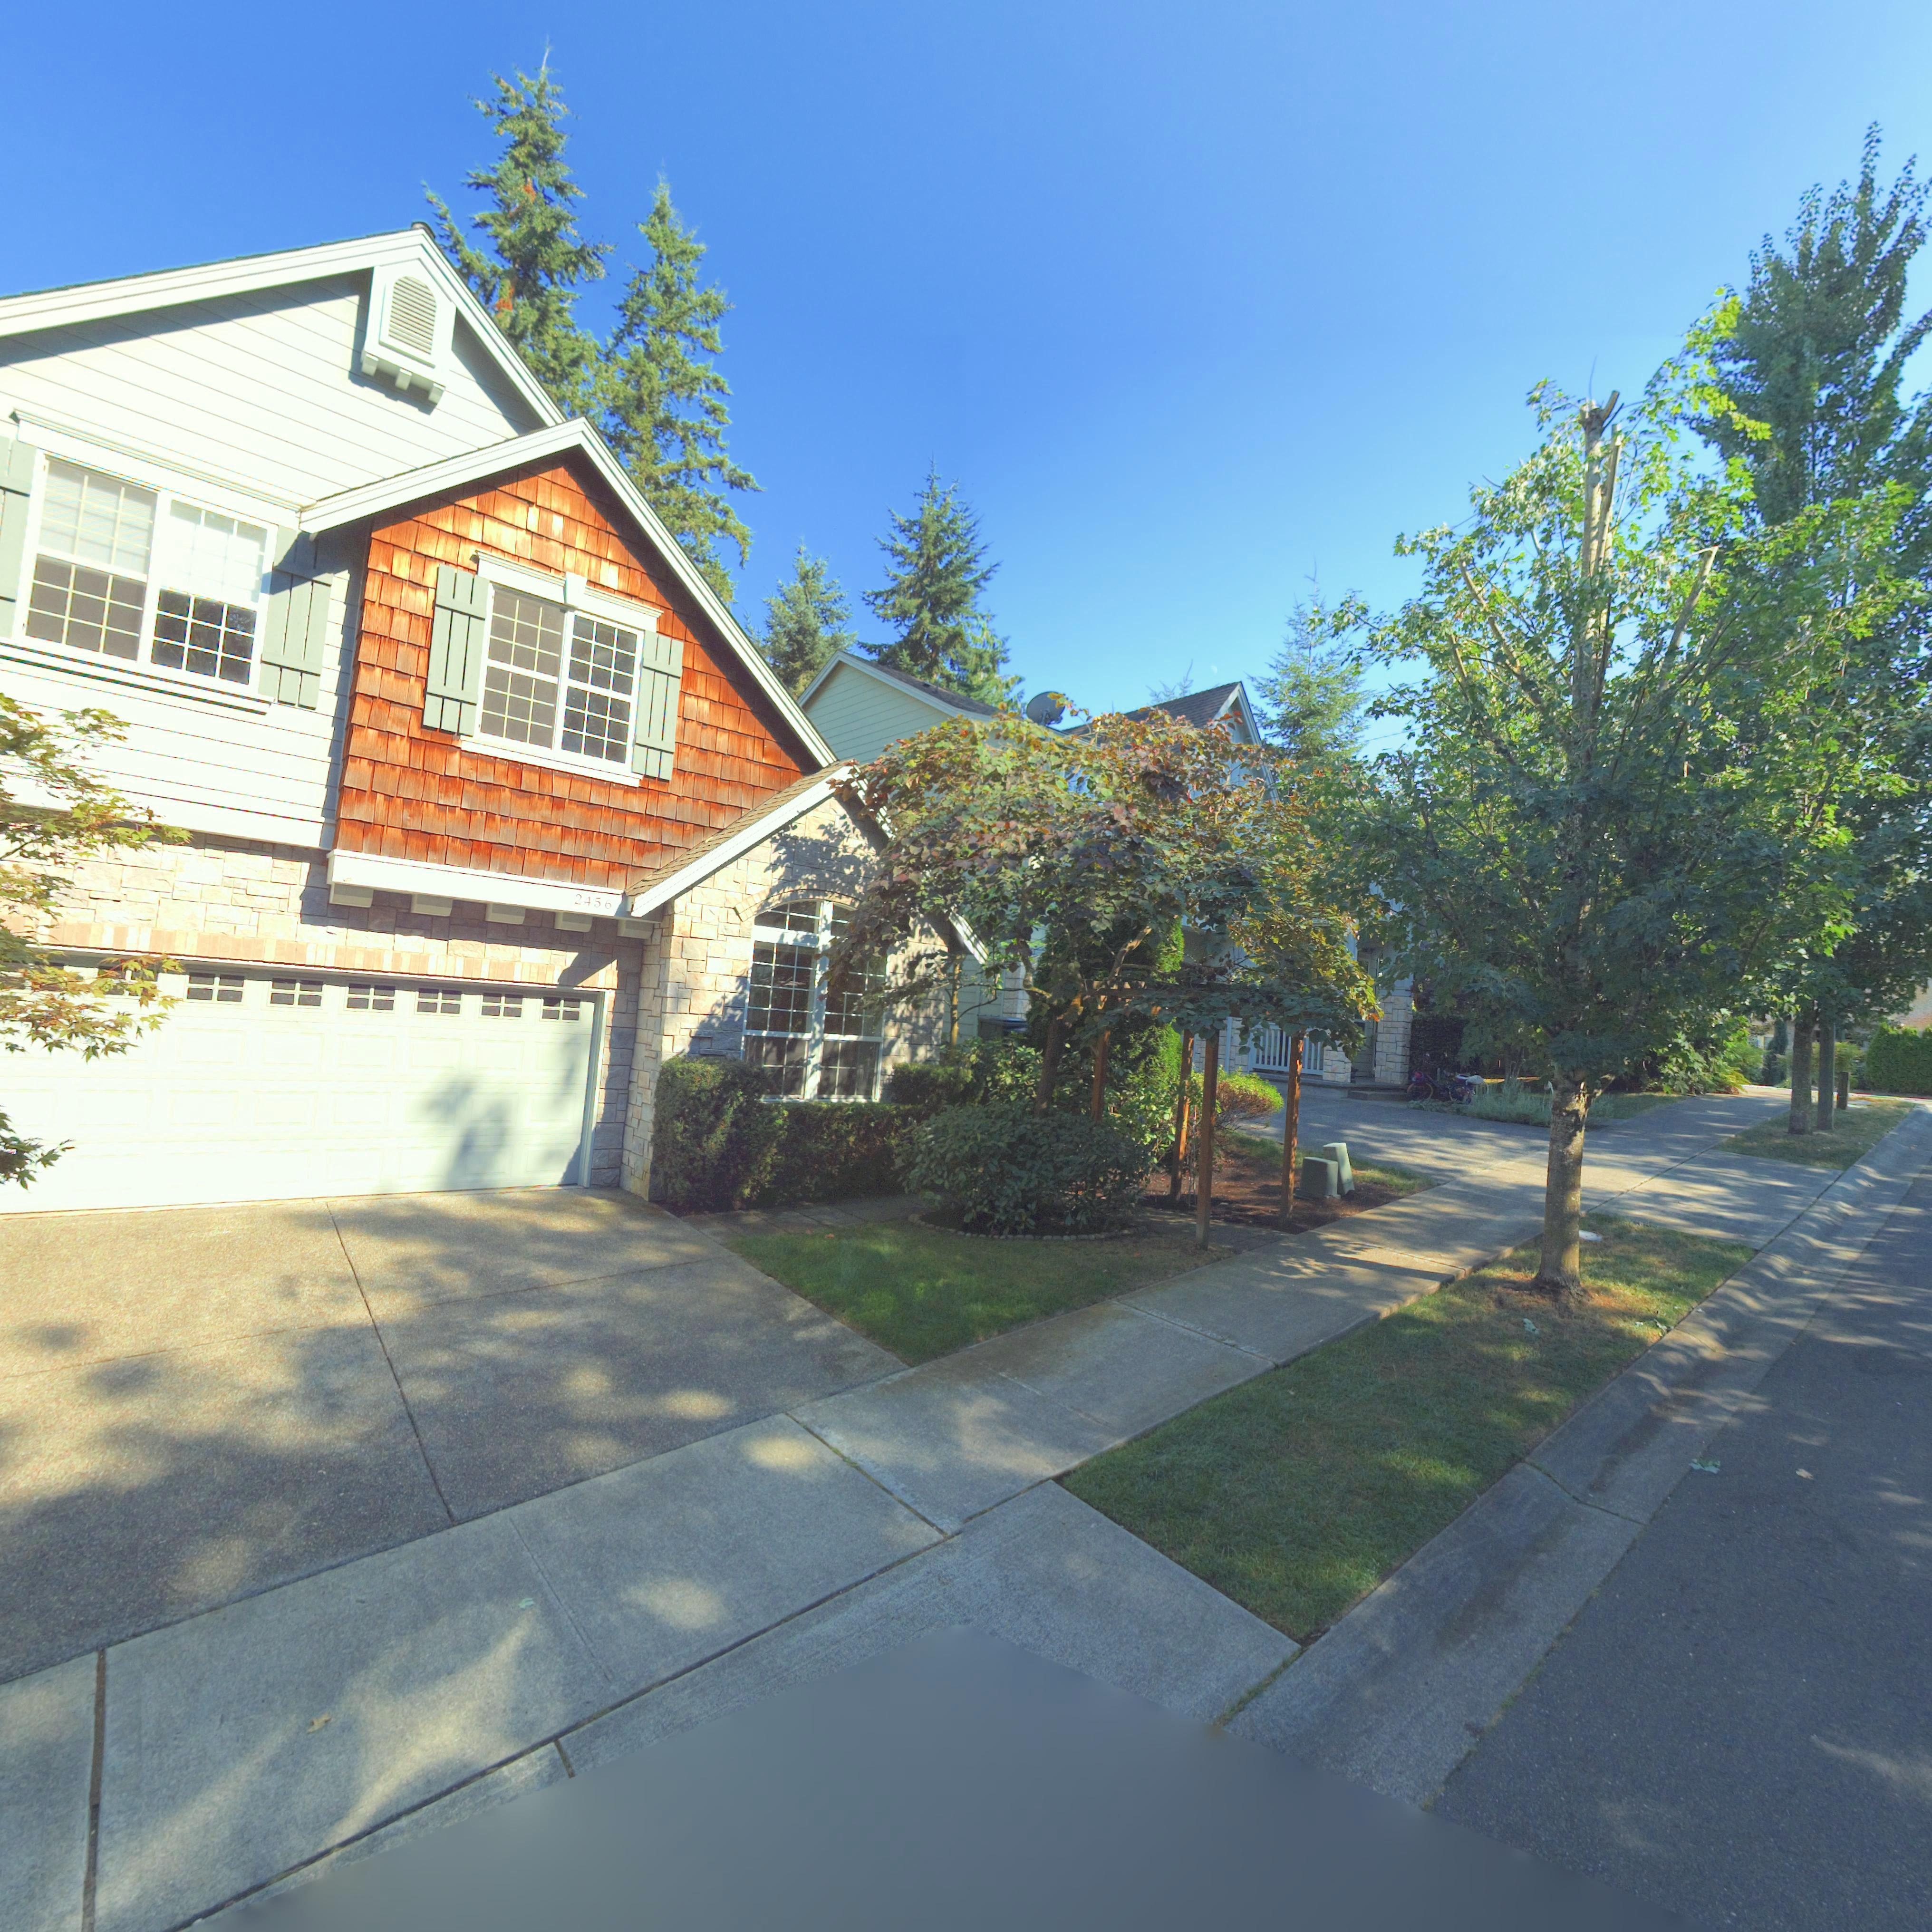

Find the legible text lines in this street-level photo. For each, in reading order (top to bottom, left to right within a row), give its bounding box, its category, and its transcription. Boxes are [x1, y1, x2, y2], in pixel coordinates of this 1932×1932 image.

[573, 893, 611, 909] StreetNumber: 2456